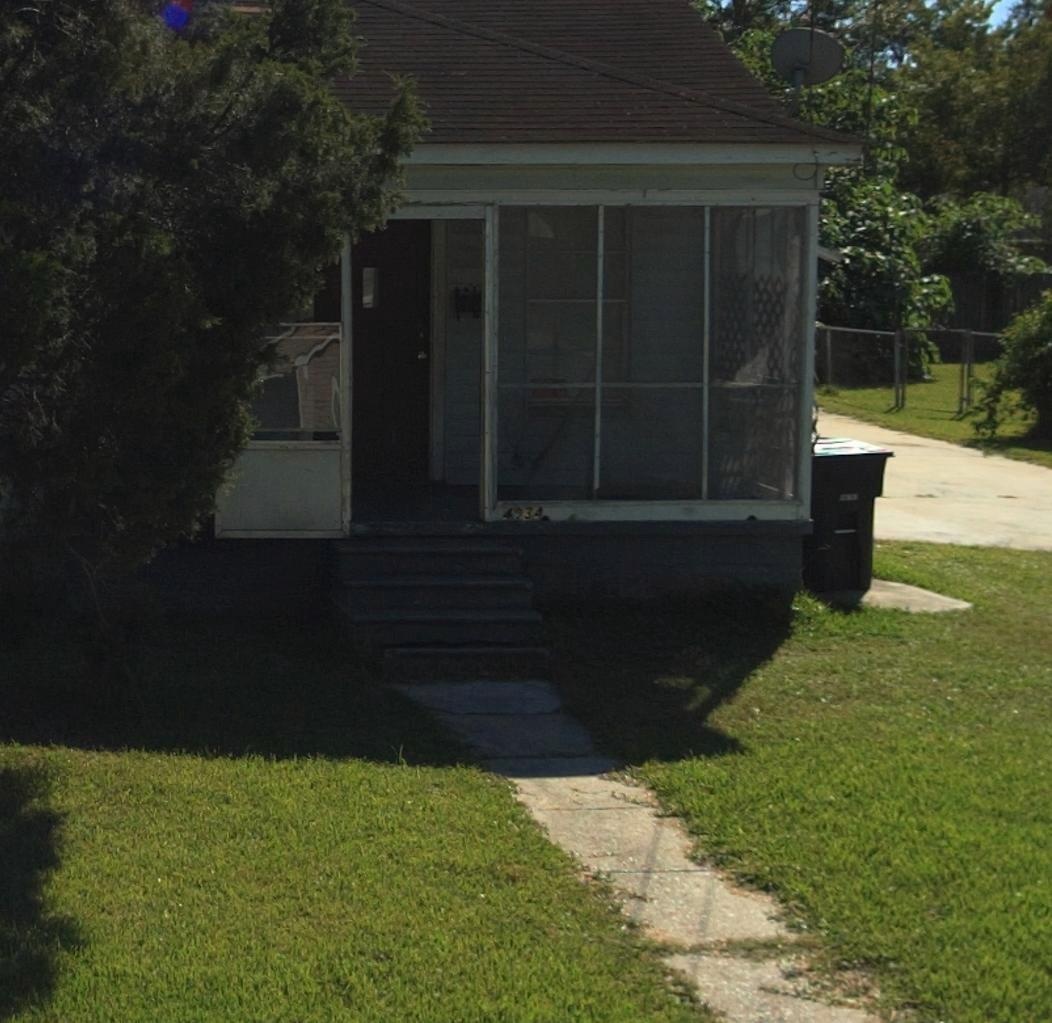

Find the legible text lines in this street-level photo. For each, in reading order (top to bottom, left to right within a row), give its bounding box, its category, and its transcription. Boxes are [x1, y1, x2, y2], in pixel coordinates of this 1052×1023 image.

[501, 505, 545, 521] StreetNumber: 4934